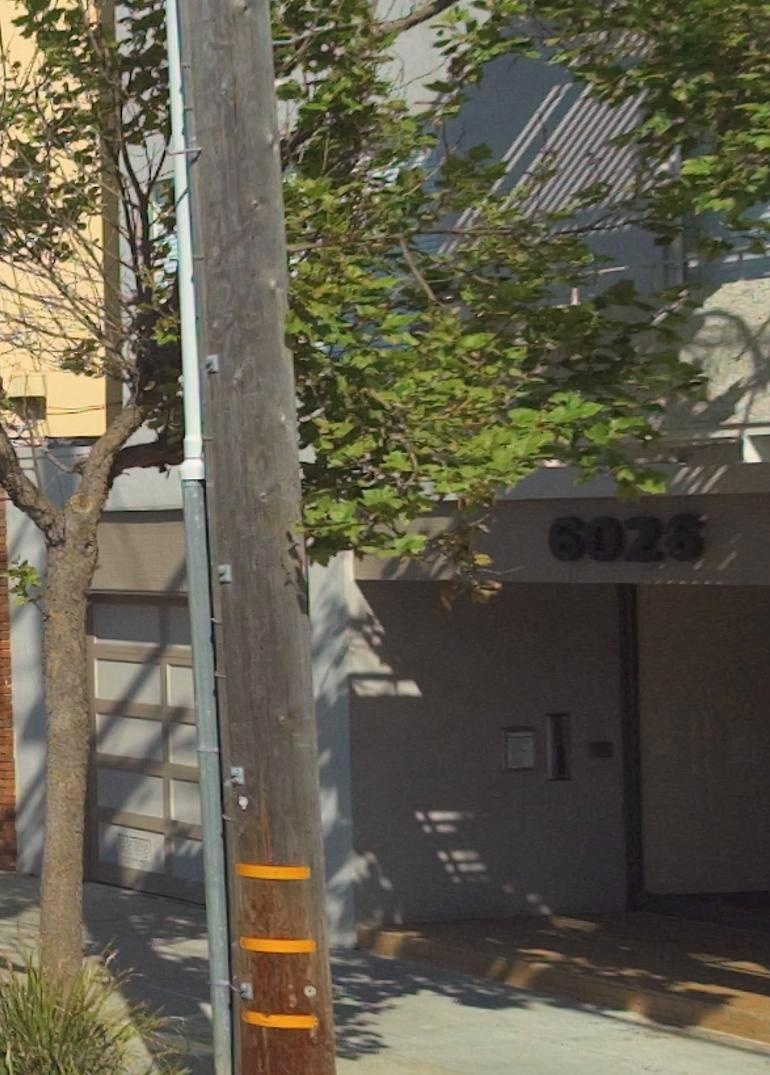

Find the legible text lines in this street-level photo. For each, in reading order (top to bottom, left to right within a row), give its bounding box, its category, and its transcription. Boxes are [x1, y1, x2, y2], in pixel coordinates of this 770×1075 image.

[547, 512, 704, 563] StreetNumber: 6028